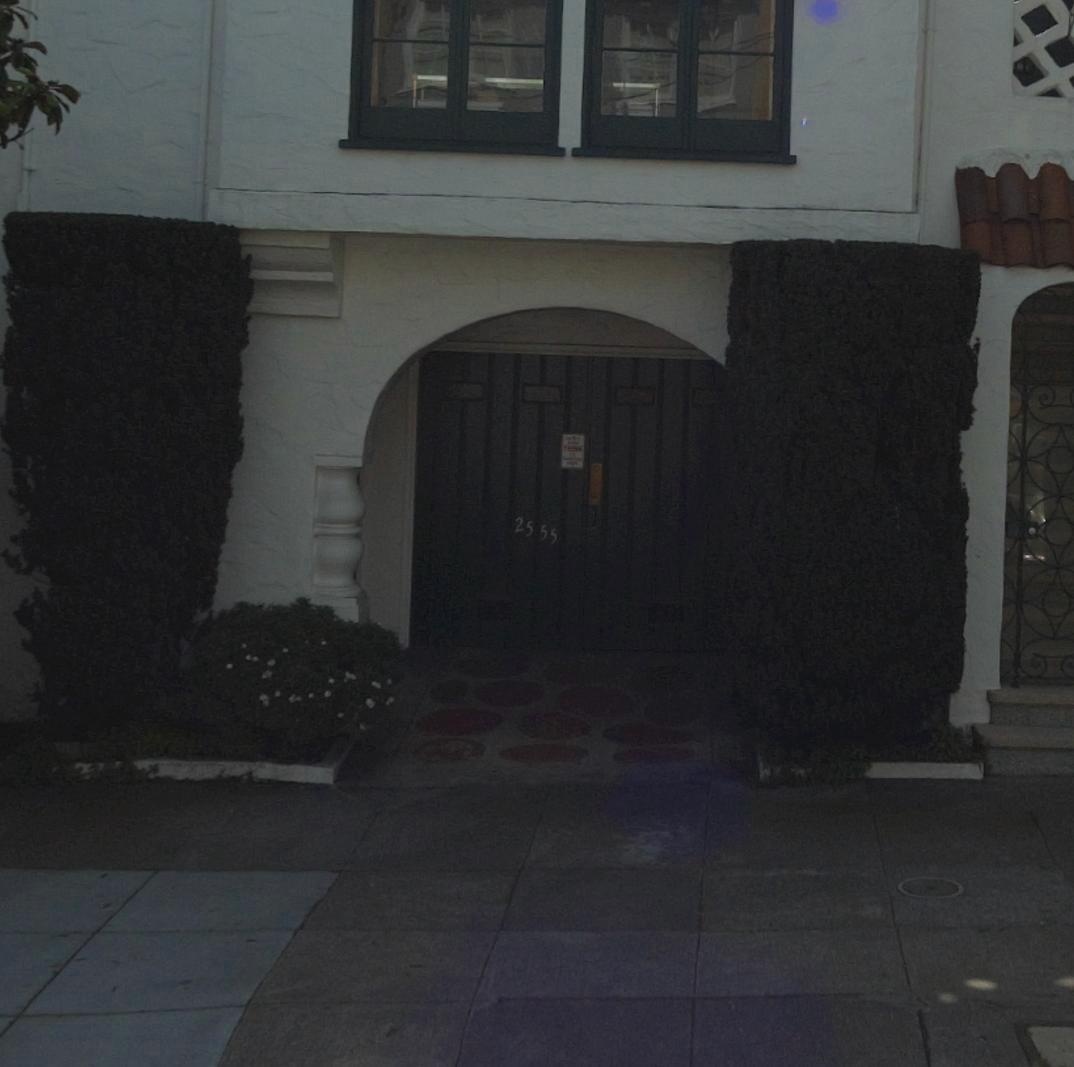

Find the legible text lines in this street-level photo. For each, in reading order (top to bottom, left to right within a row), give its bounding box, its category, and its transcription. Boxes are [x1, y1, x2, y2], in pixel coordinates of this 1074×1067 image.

[512, 515, 561, 548] StreetNumber: 2555